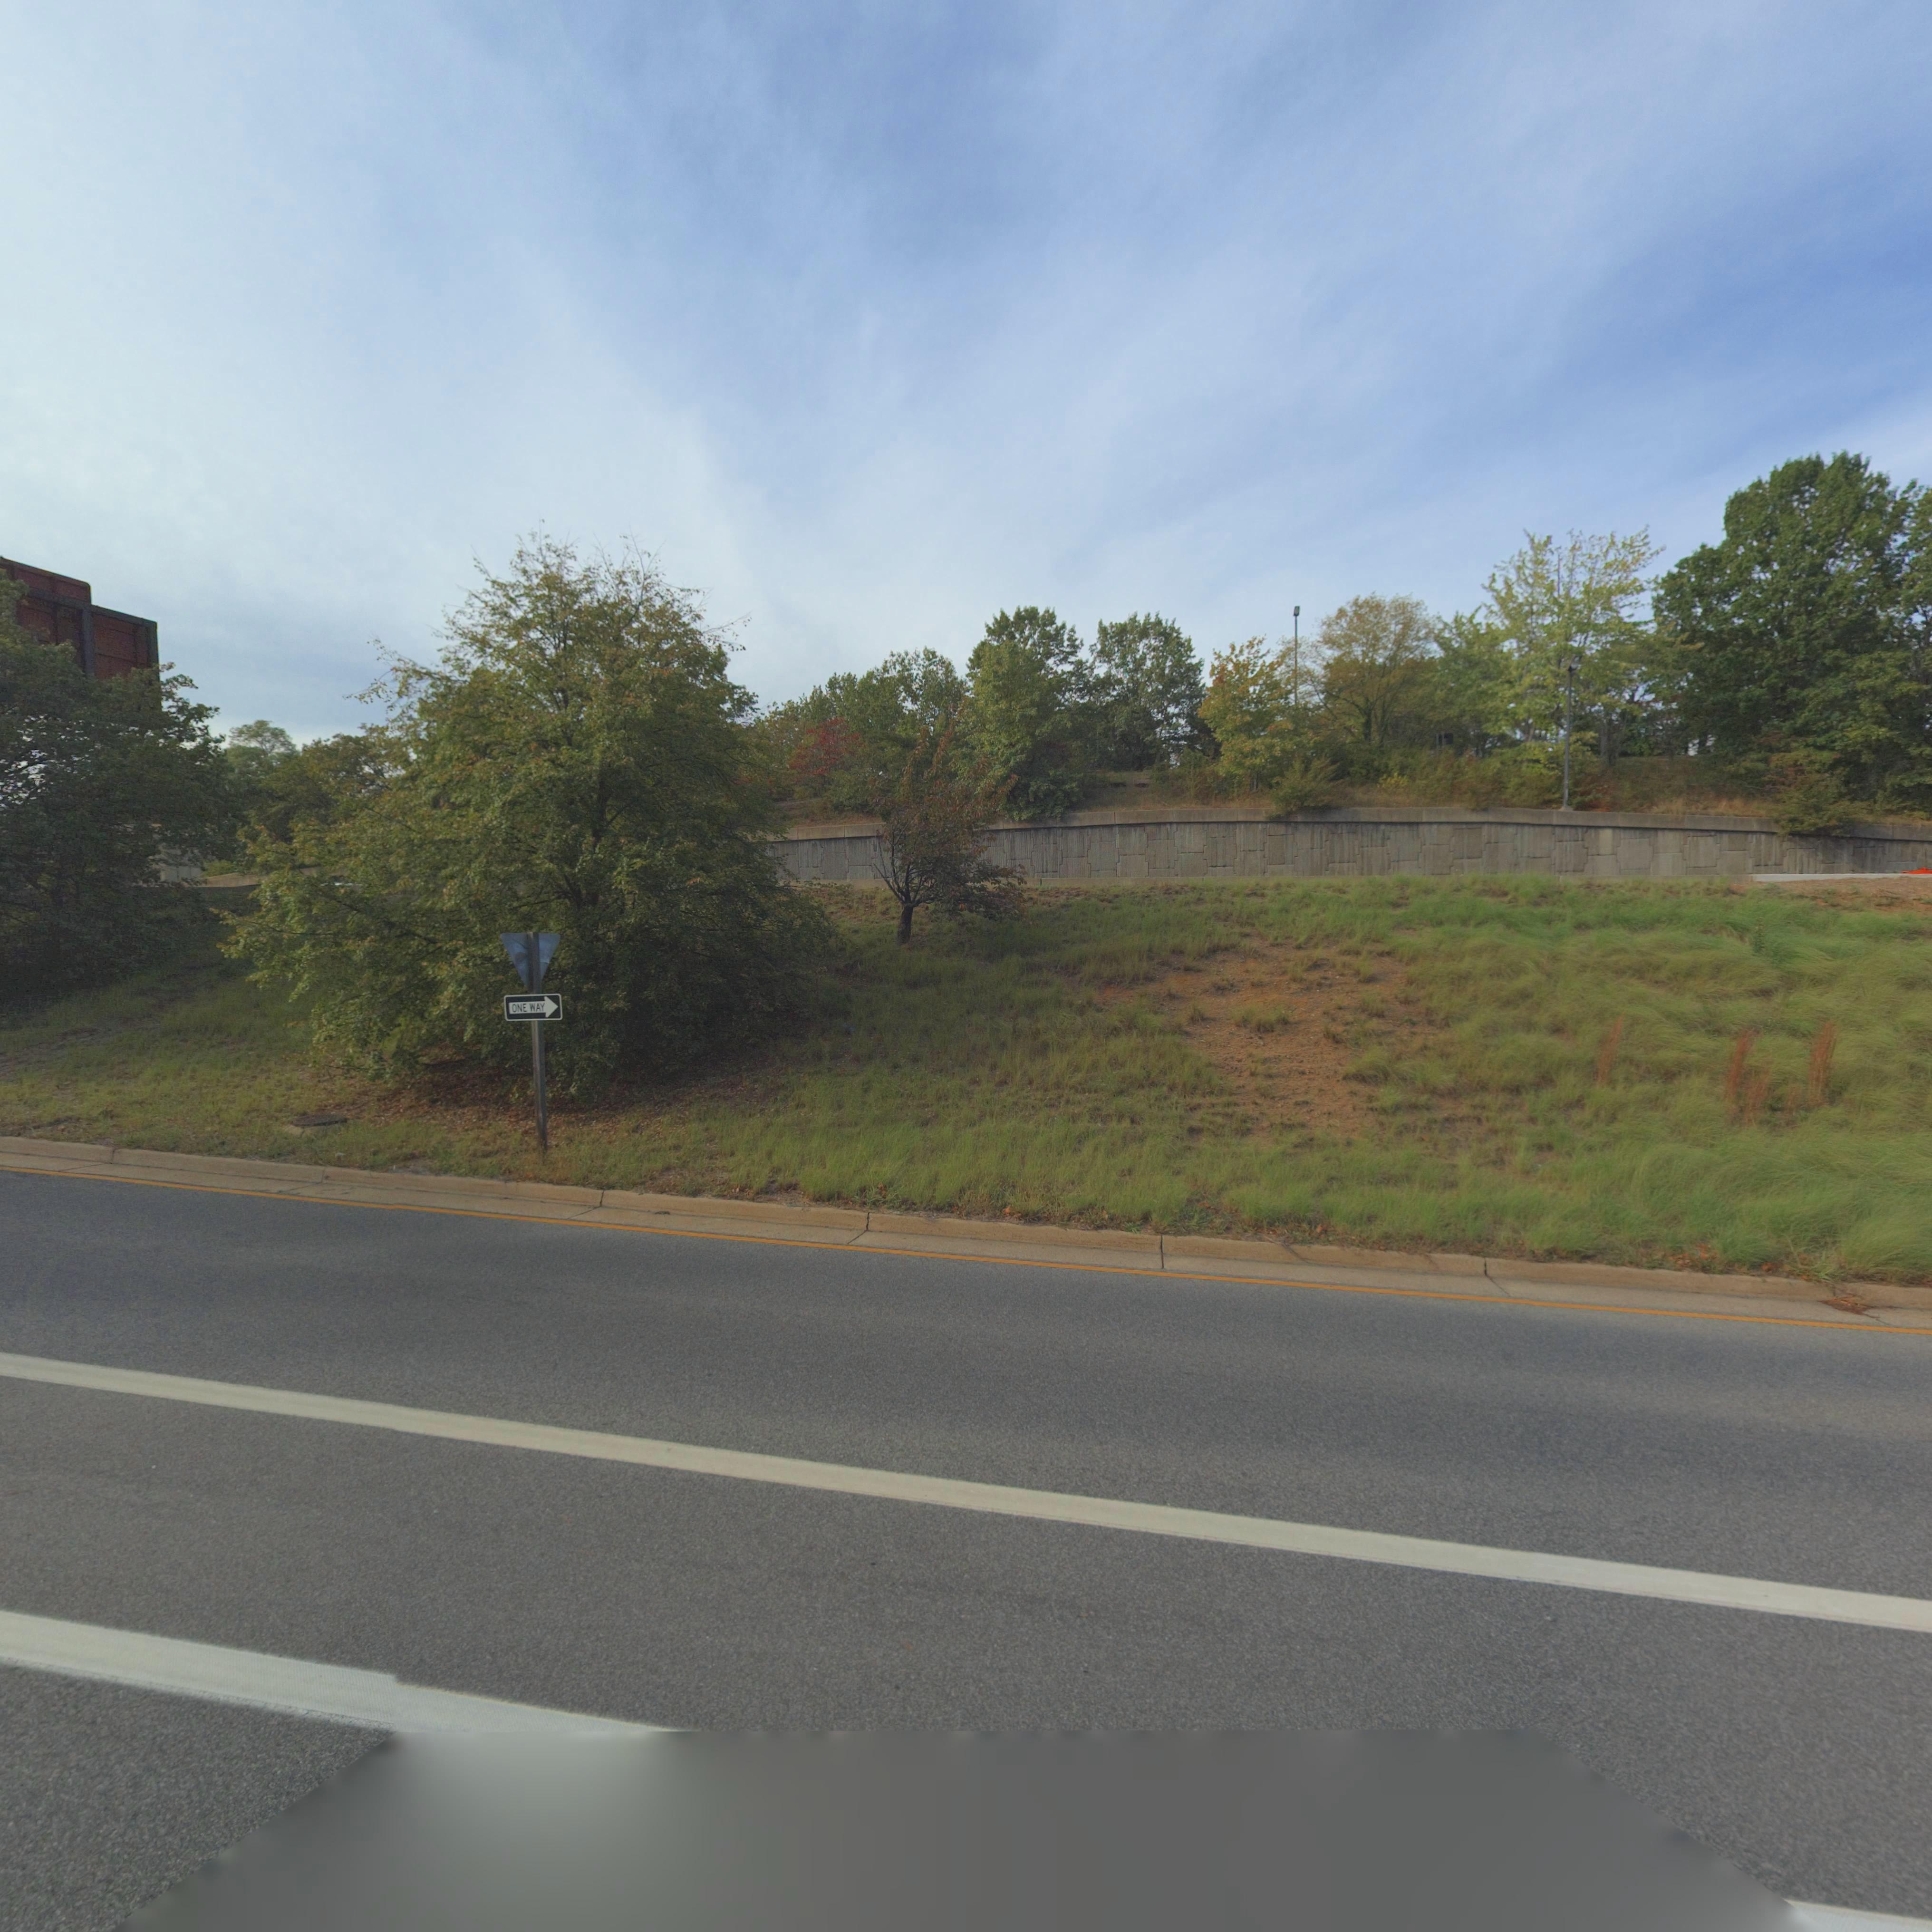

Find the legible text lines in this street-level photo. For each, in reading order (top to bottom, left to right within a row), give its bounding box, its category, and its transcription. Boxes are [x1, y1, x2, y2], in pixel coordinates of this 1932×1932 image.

[512, 1001, 547, 1014] None: ONE WAY